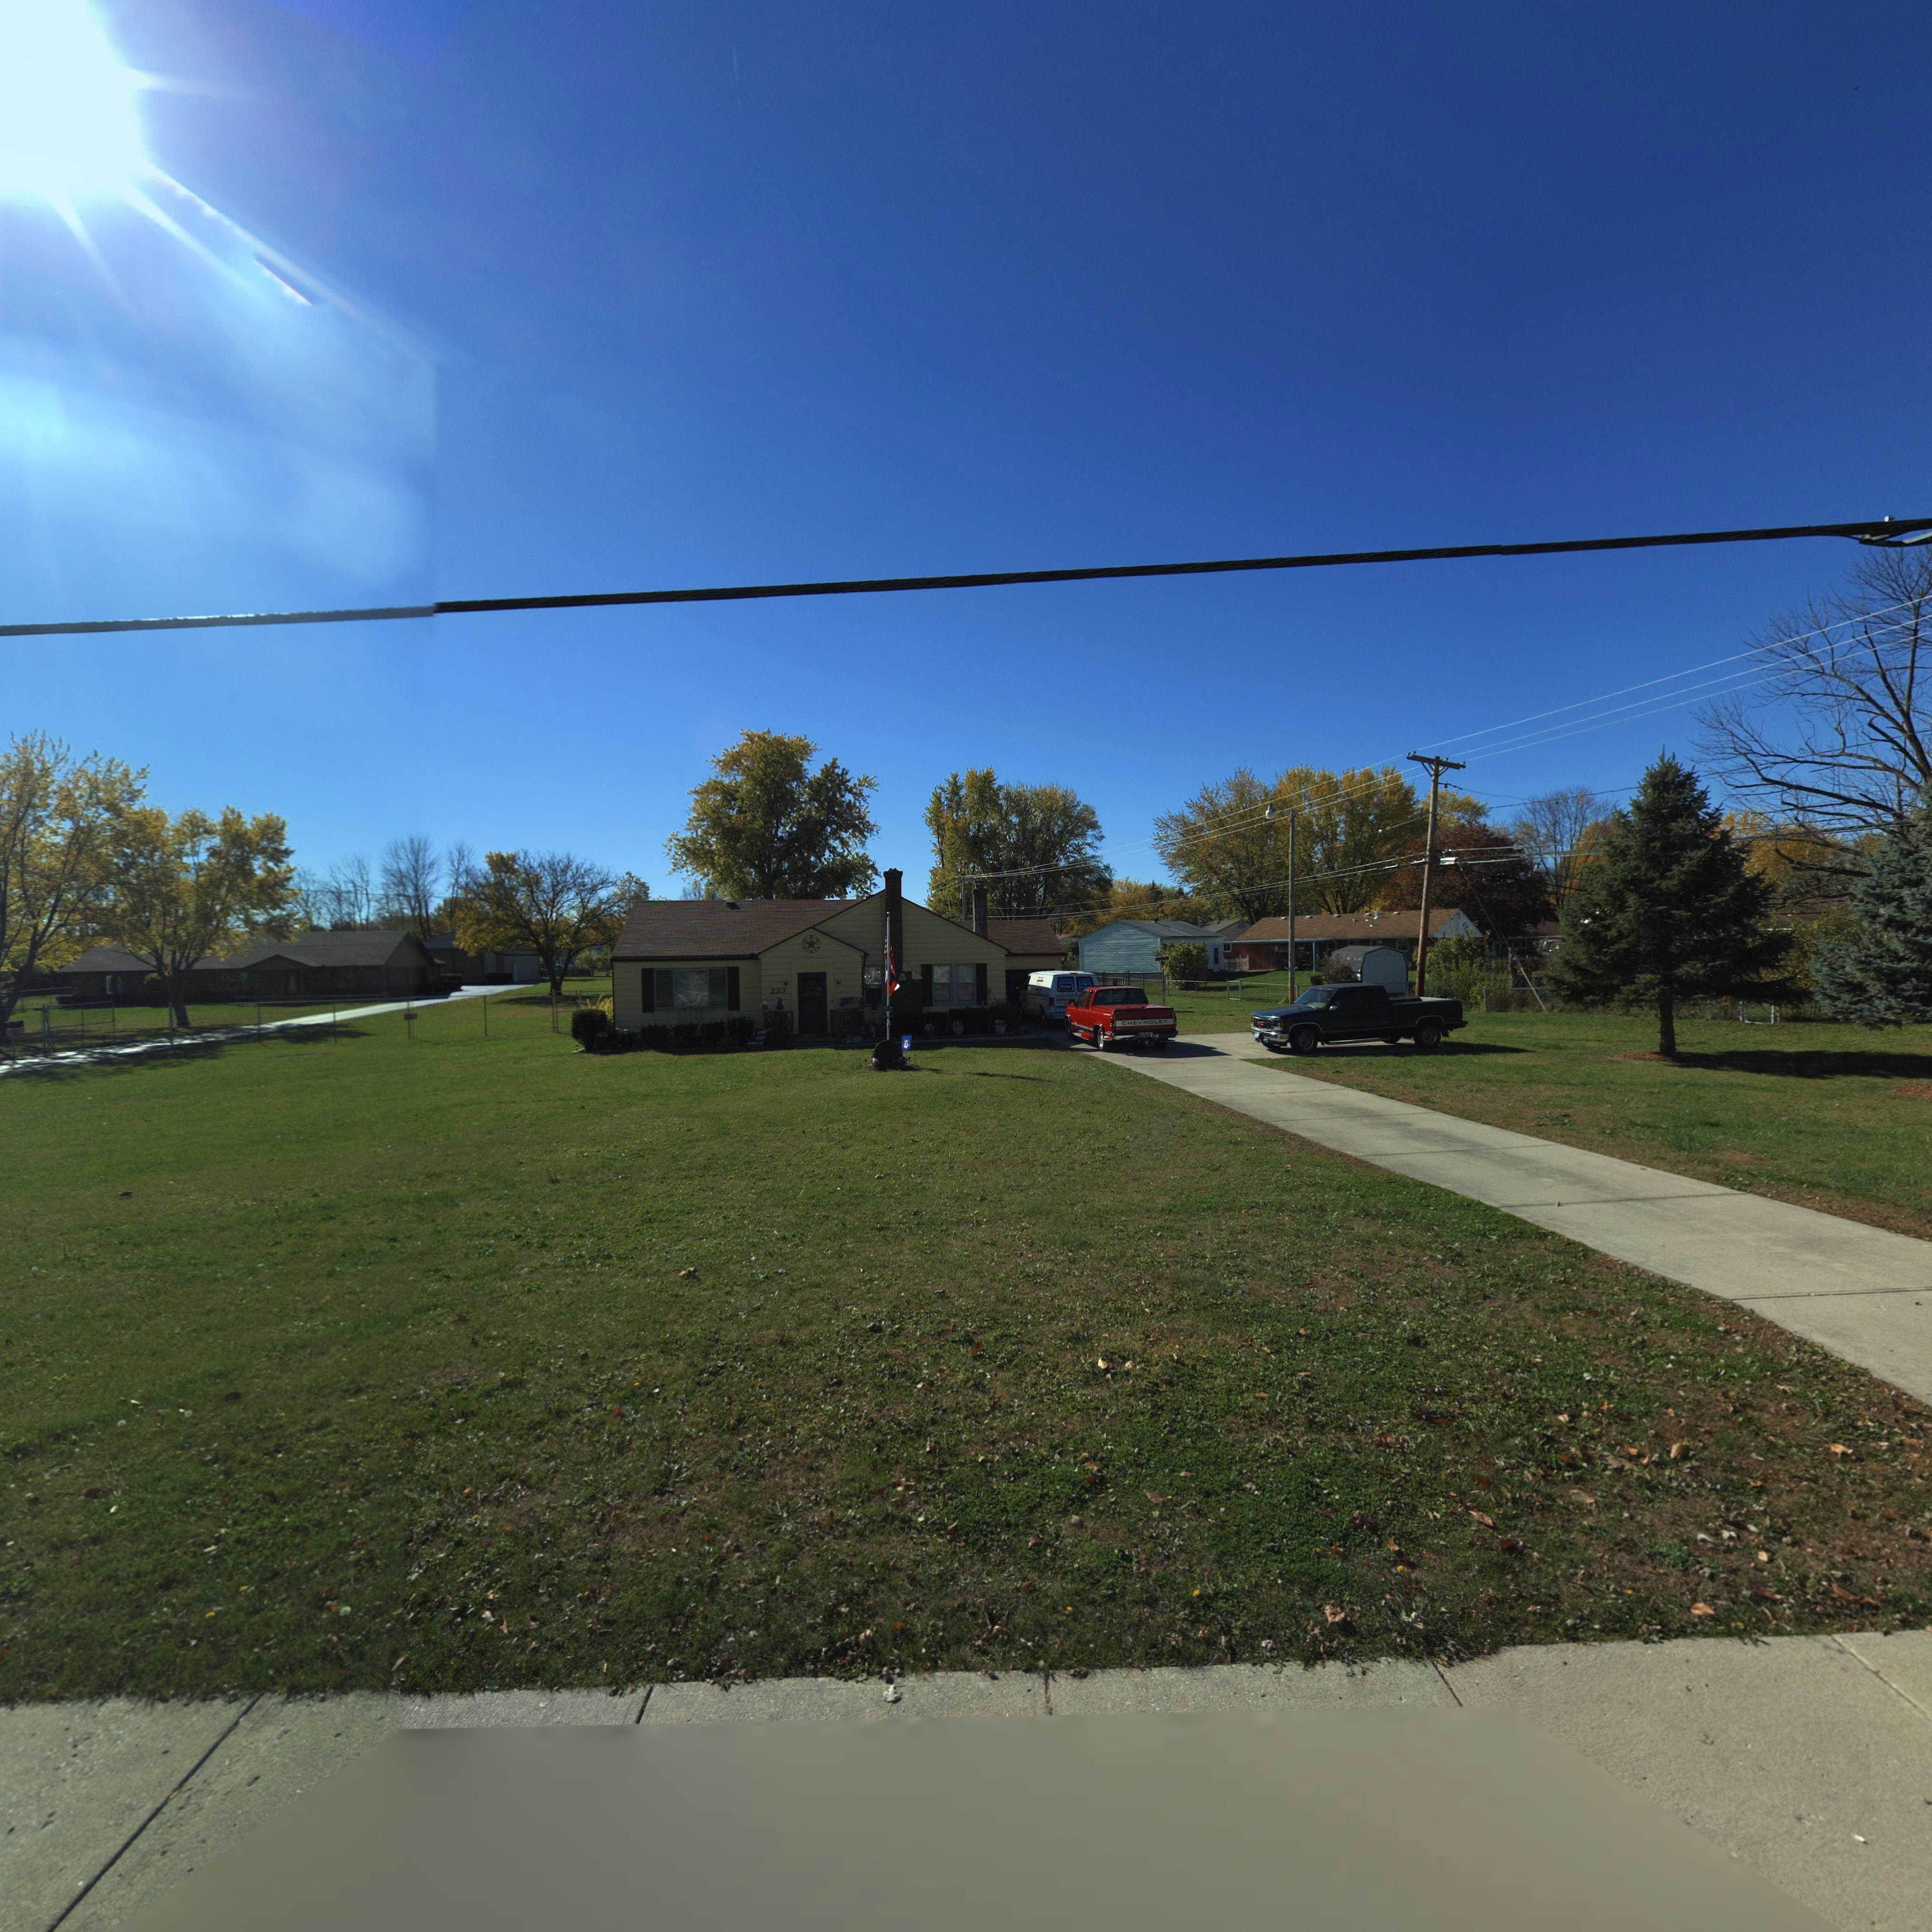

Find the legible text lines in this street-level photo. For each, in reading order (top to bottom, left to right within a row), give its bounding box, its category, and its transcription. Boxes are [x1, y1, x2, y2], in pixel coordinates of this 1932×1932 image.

[770, 987, 786, 994] StreetNumber: 223
[1121, 1019, 1168, 1025] None: CHEVROLET